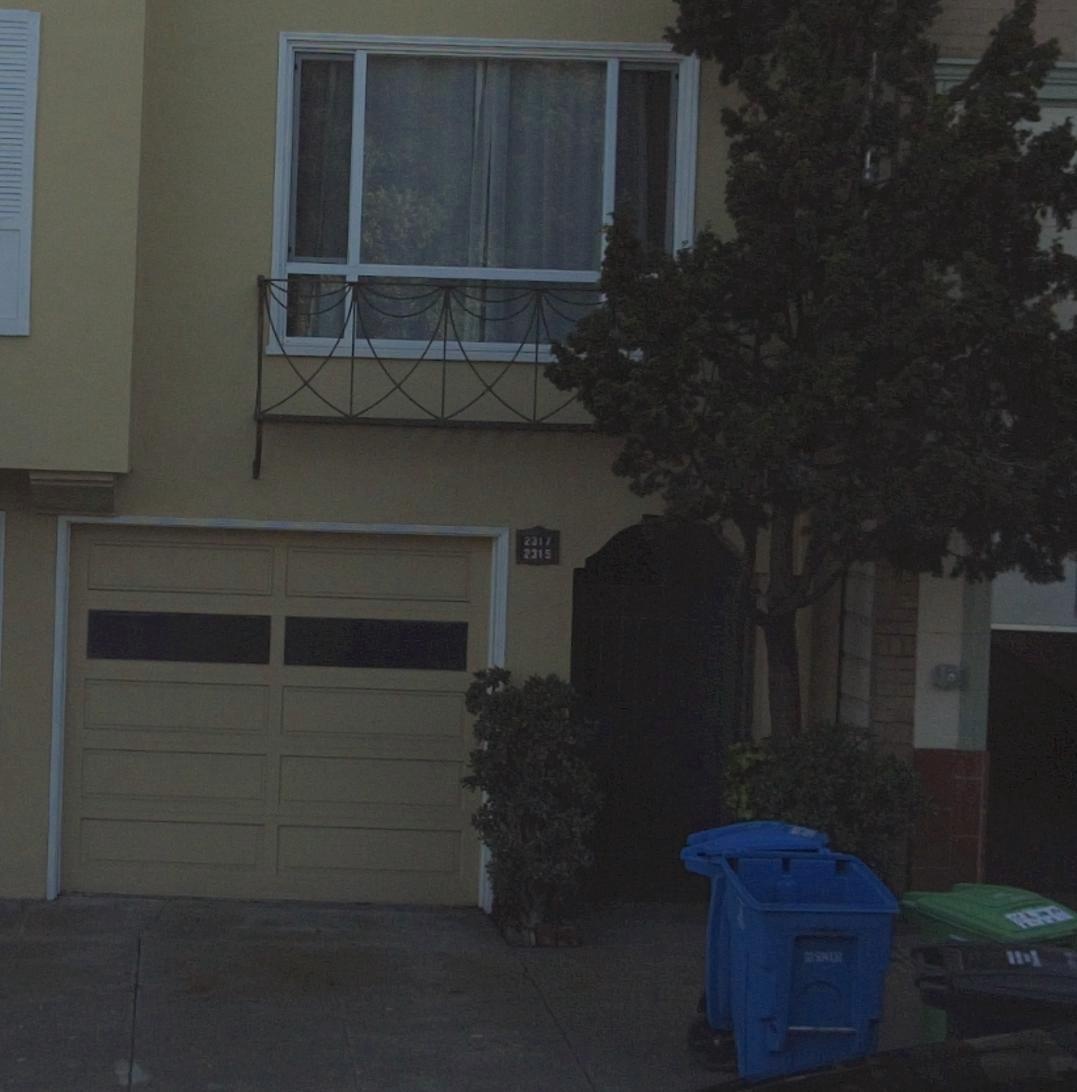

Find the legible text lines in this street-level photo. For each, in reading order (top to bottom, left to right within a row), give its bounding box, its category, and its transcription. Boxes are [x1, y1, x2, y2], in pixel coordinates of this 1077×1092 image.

[522, 533, 553, 548] StreetNumber: 2317
[522, 546, 553, 561] StreetNumber: 2315